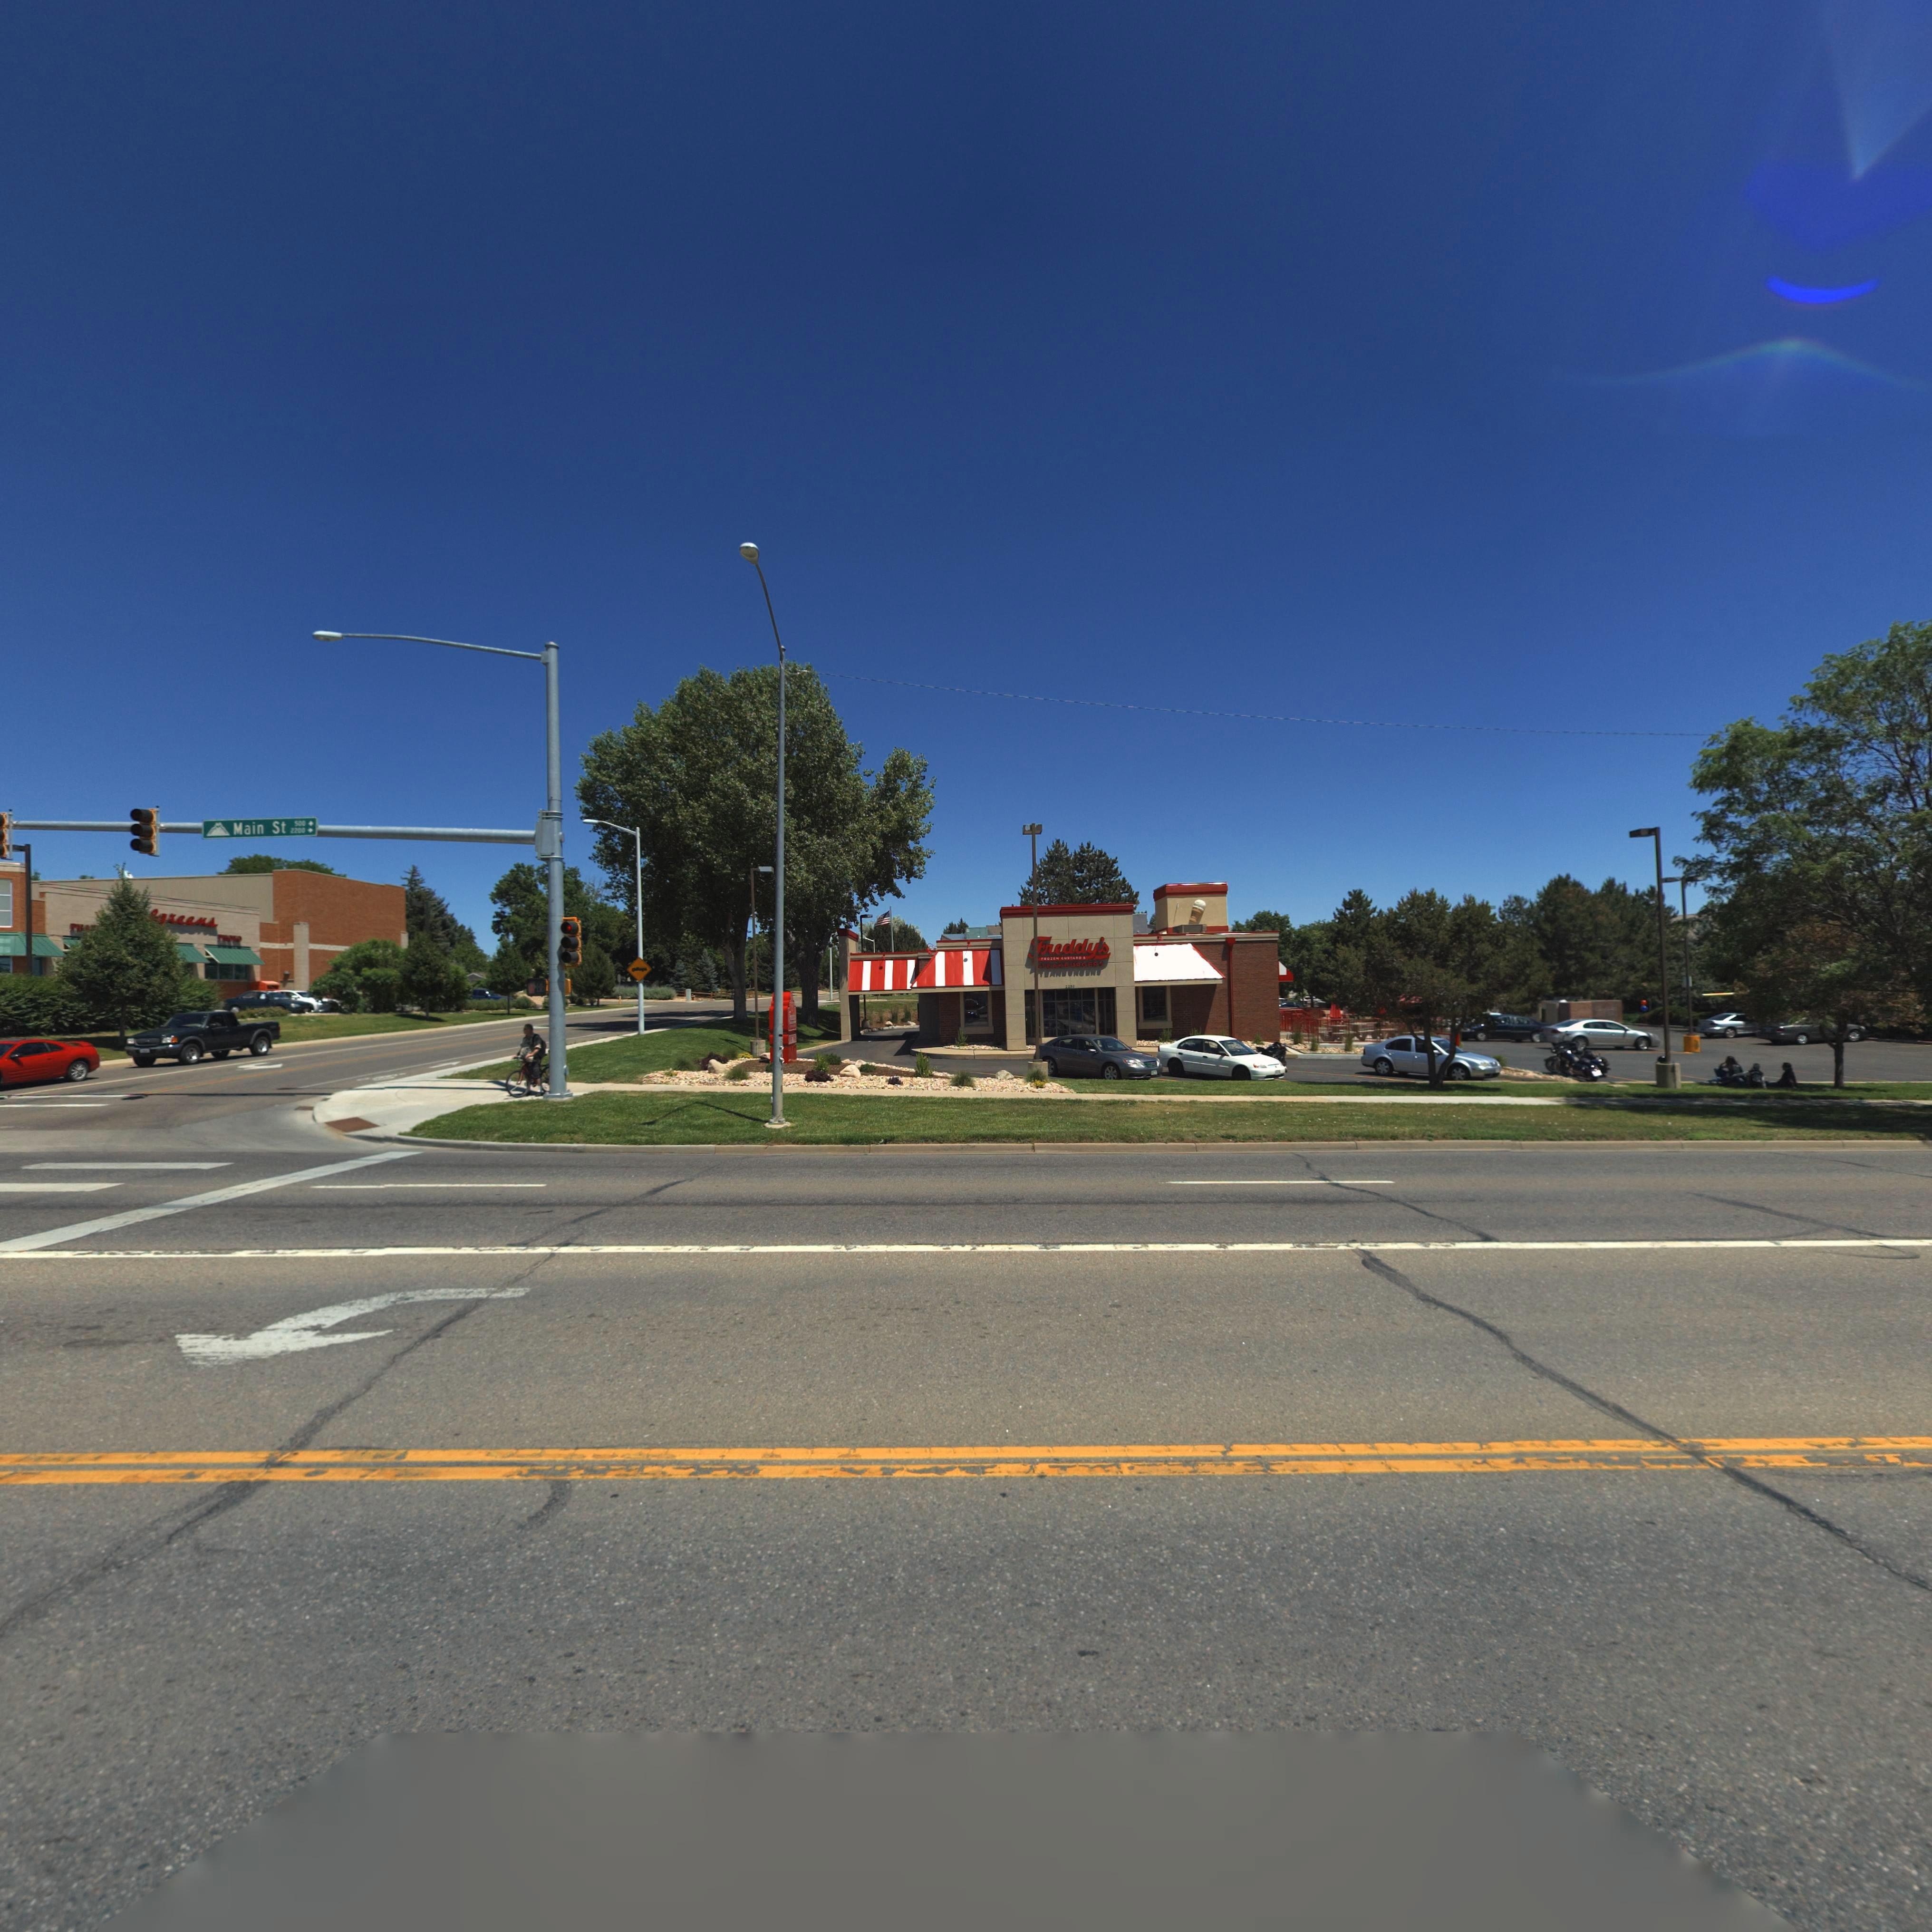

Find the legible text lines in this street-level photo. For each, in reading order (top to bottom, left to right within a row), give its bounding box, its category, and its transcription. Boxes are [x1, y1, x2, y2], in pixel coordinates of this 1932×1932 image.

[233, 820, 286, 835] StreetName: Main St
[290, 827, 306, 833] StreetNumberRange: 2200
[294, 820, 306, 827] StreetNumberRange: 500
[148, 908, 219, 927] BusinessName: **reens
[1027, 936, 1110, 960] BusinessName: *reddy's
[1065, 985, 1074, 988] StreetNumber: 22*0